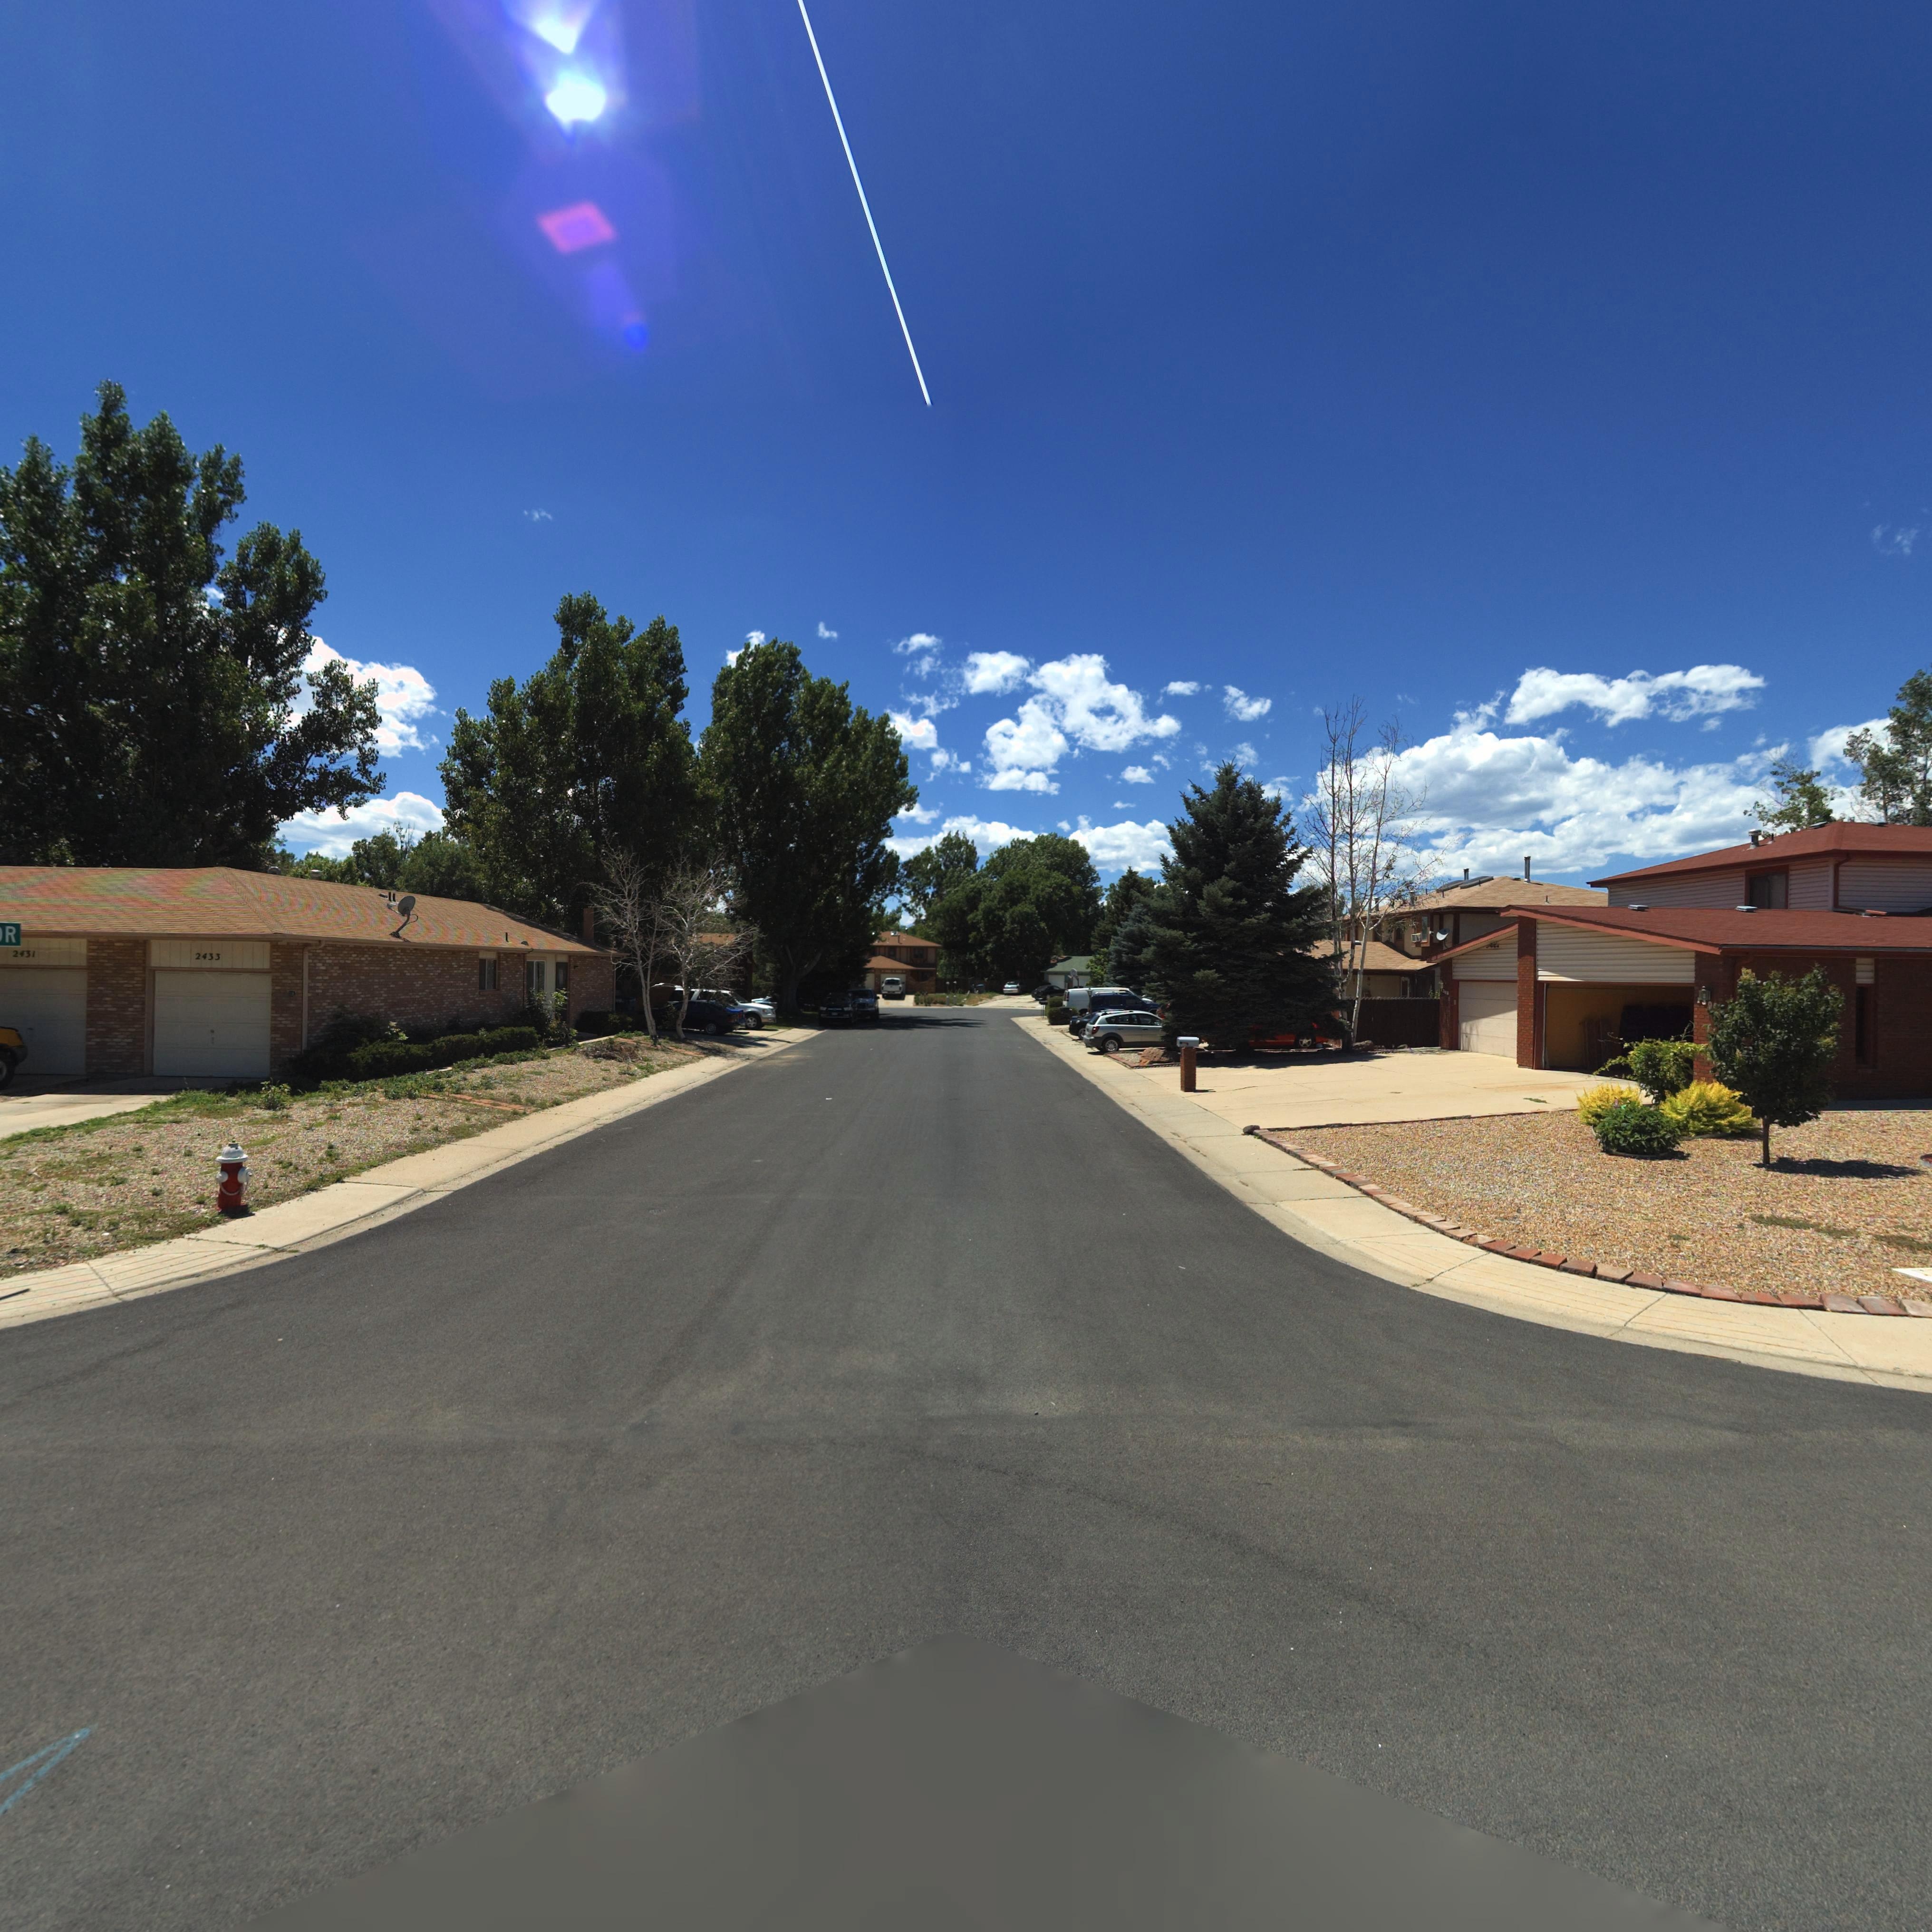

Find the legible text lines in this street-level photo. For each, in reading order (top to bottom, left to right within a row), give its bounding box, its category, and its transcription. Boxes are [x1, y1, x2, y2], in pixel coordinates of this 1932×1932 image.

[5, 925, 16, 944] StreetName: R
[11, 949, 36, 958] StreetNumber: 2431
[194, 952, 221, 960] StreetNumber: 2433